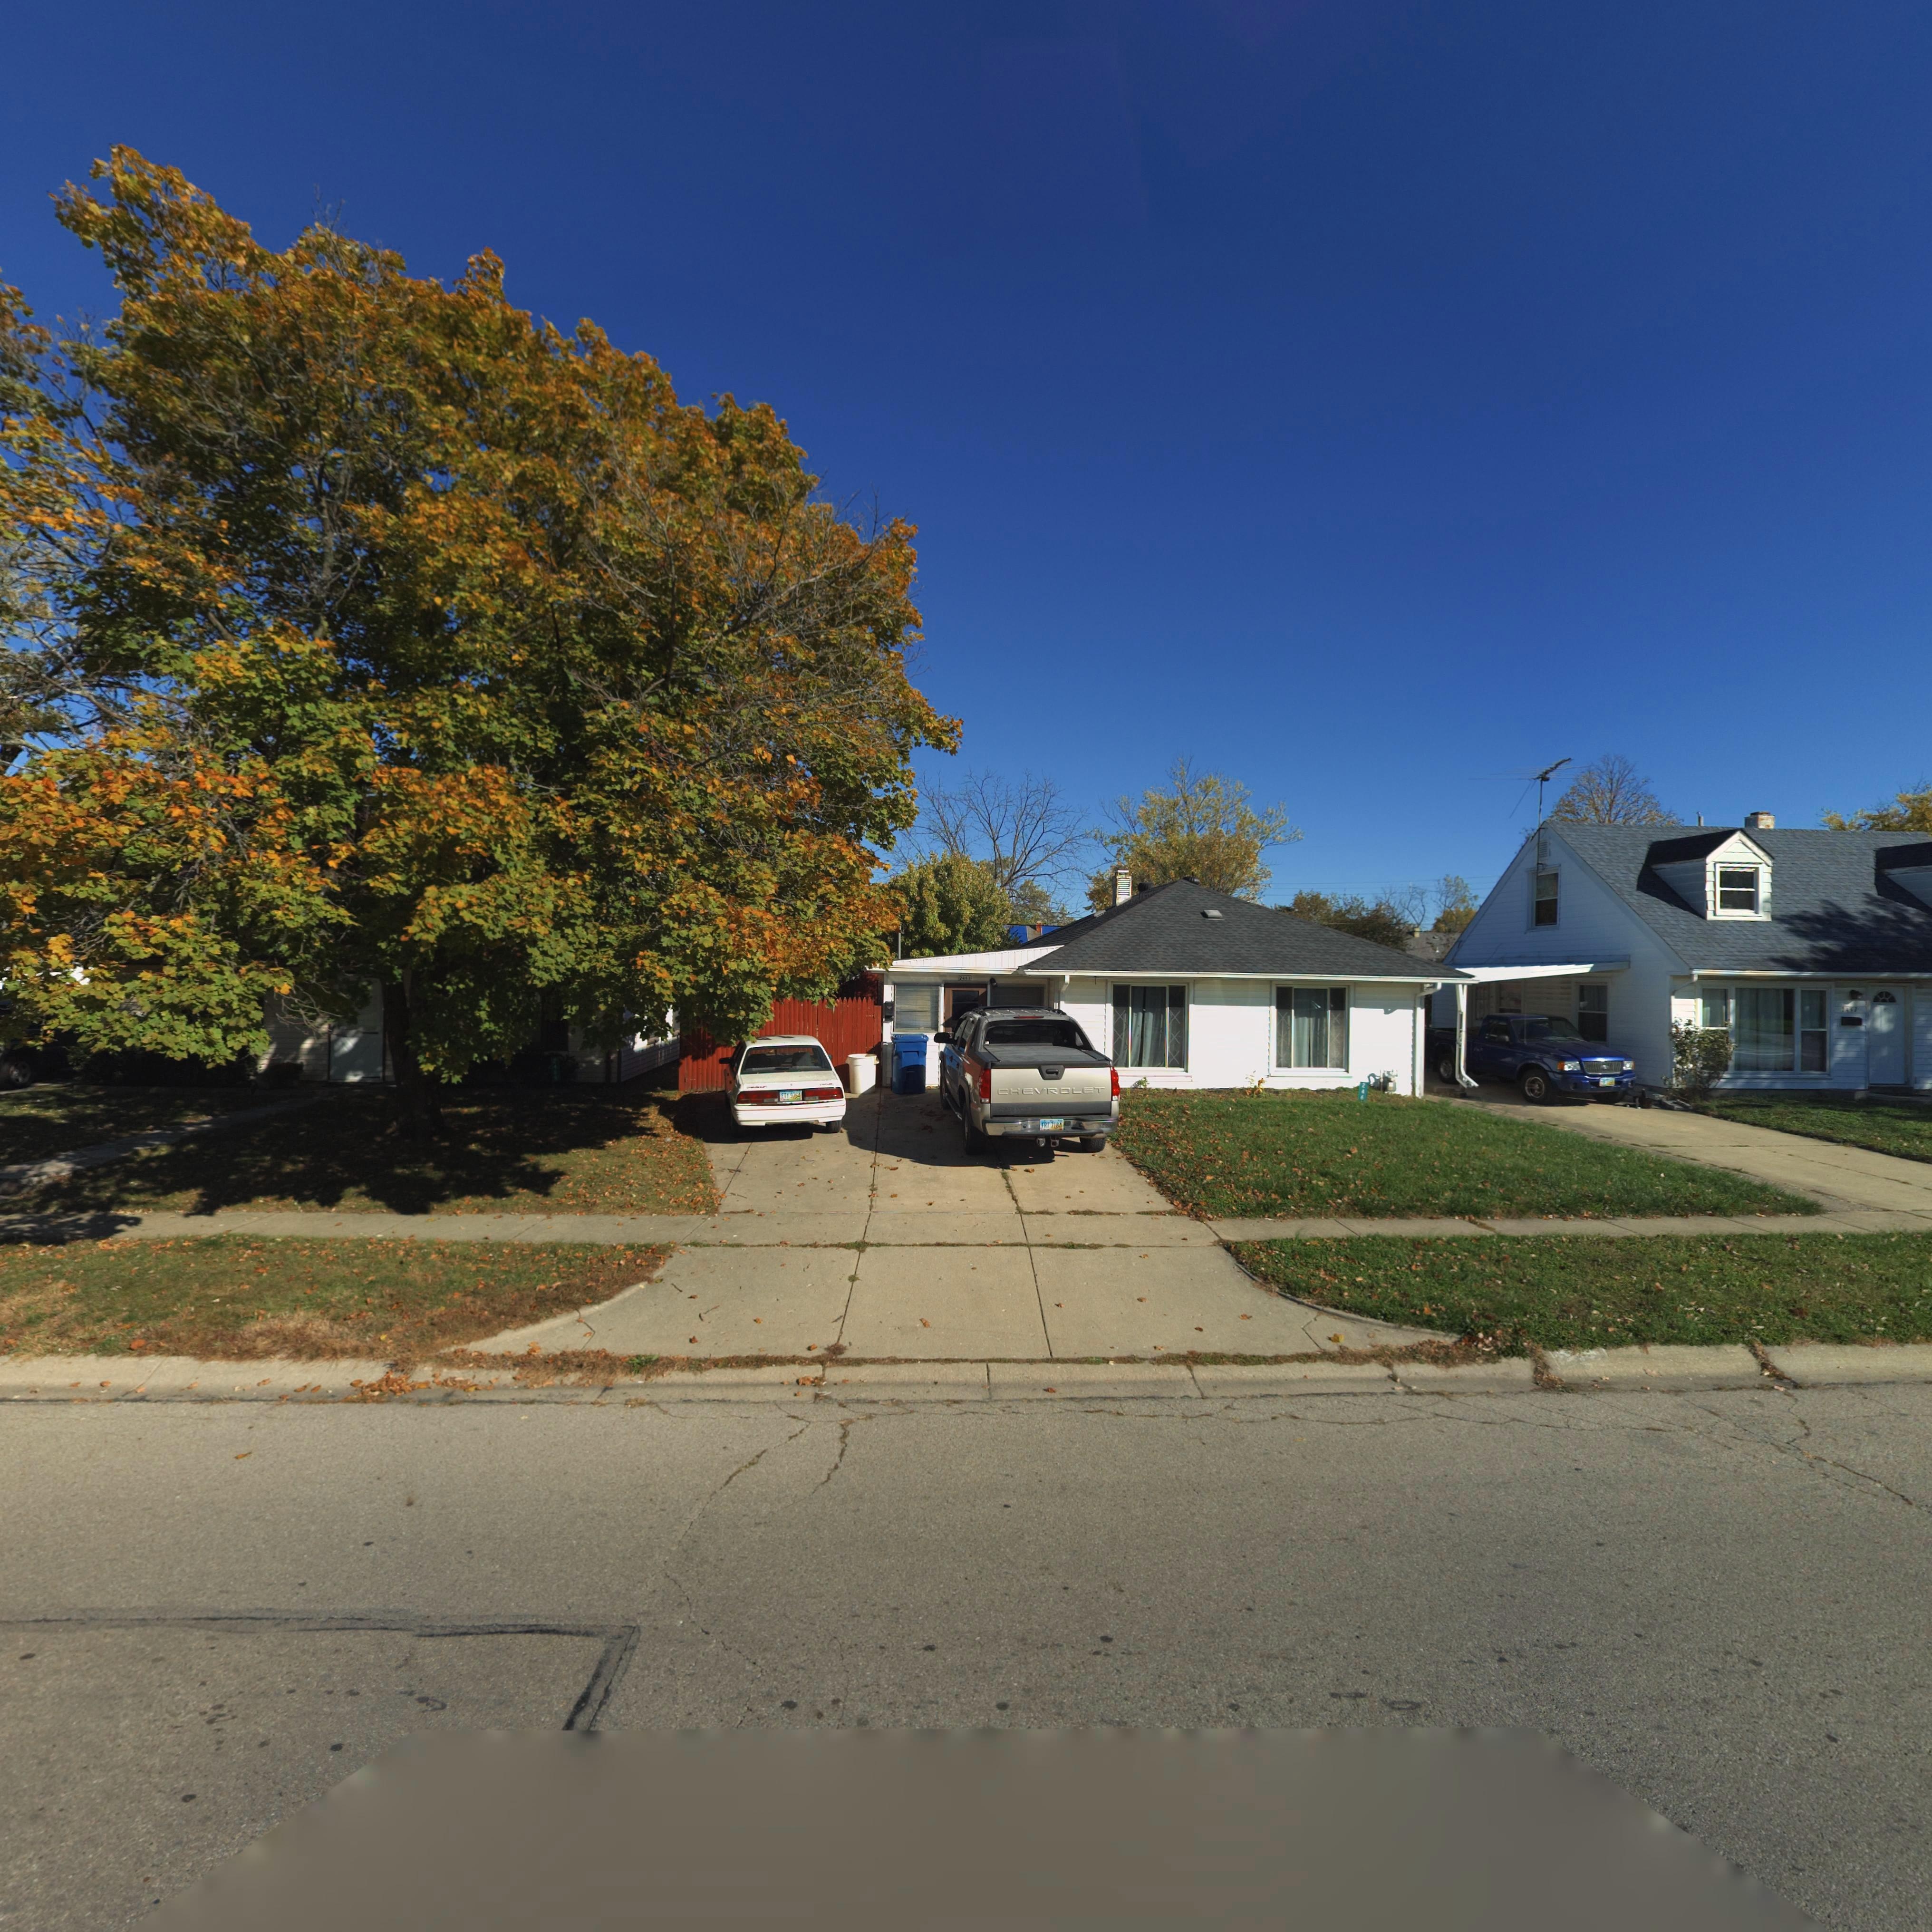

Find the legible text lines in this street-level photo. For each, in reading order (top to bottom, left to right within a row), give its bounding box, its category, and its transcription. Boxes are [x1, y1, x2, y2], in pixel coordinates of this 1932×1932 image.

[959, 976, 971, 981] StreetNumber: 2461
[997, 1086, 1106, 1096] None: CHEVROLET
[781, 1092, 801, 1099] None: ETY*976*
[1041, 1121, 1063, 1129] None: FRT*7184